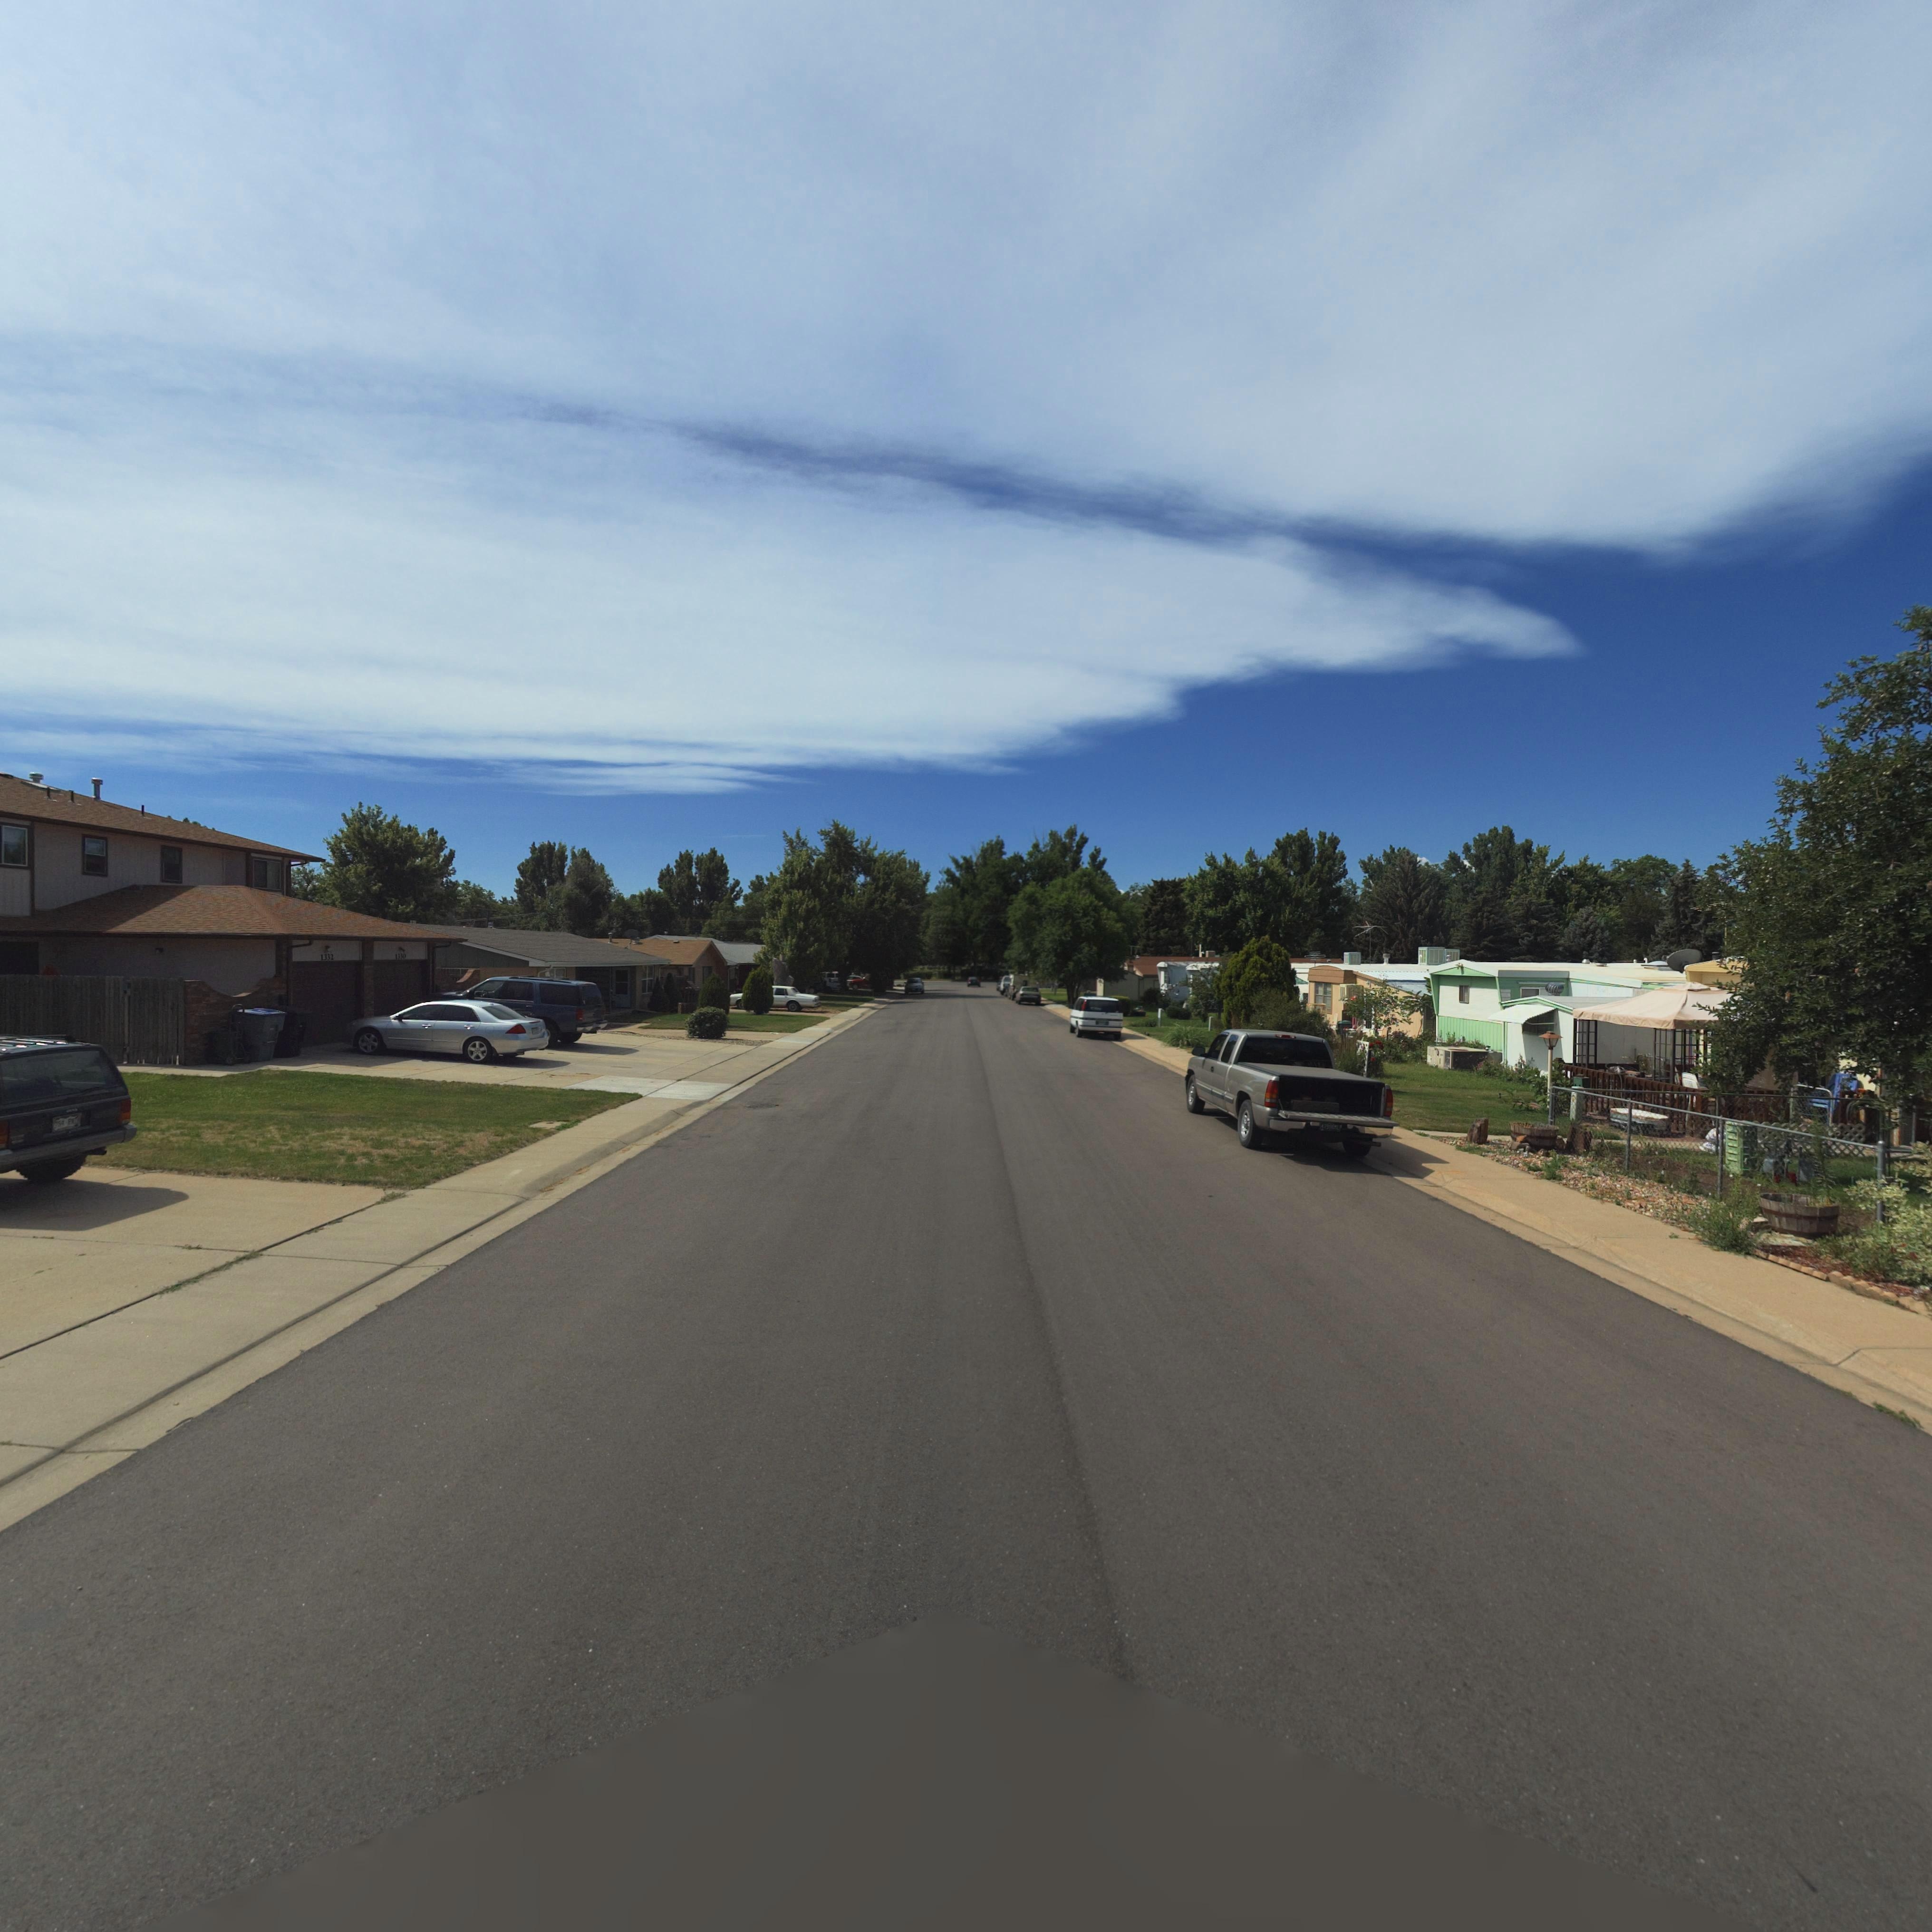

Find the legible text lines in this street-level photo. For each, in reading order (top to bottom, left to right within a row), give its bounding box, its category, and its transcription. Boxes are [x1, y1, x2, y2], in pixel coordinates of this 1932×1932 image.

[320, 953, 334, 961] StreetNumber: 1332
[394, 953, 406, 959] StreetNumber: 1330